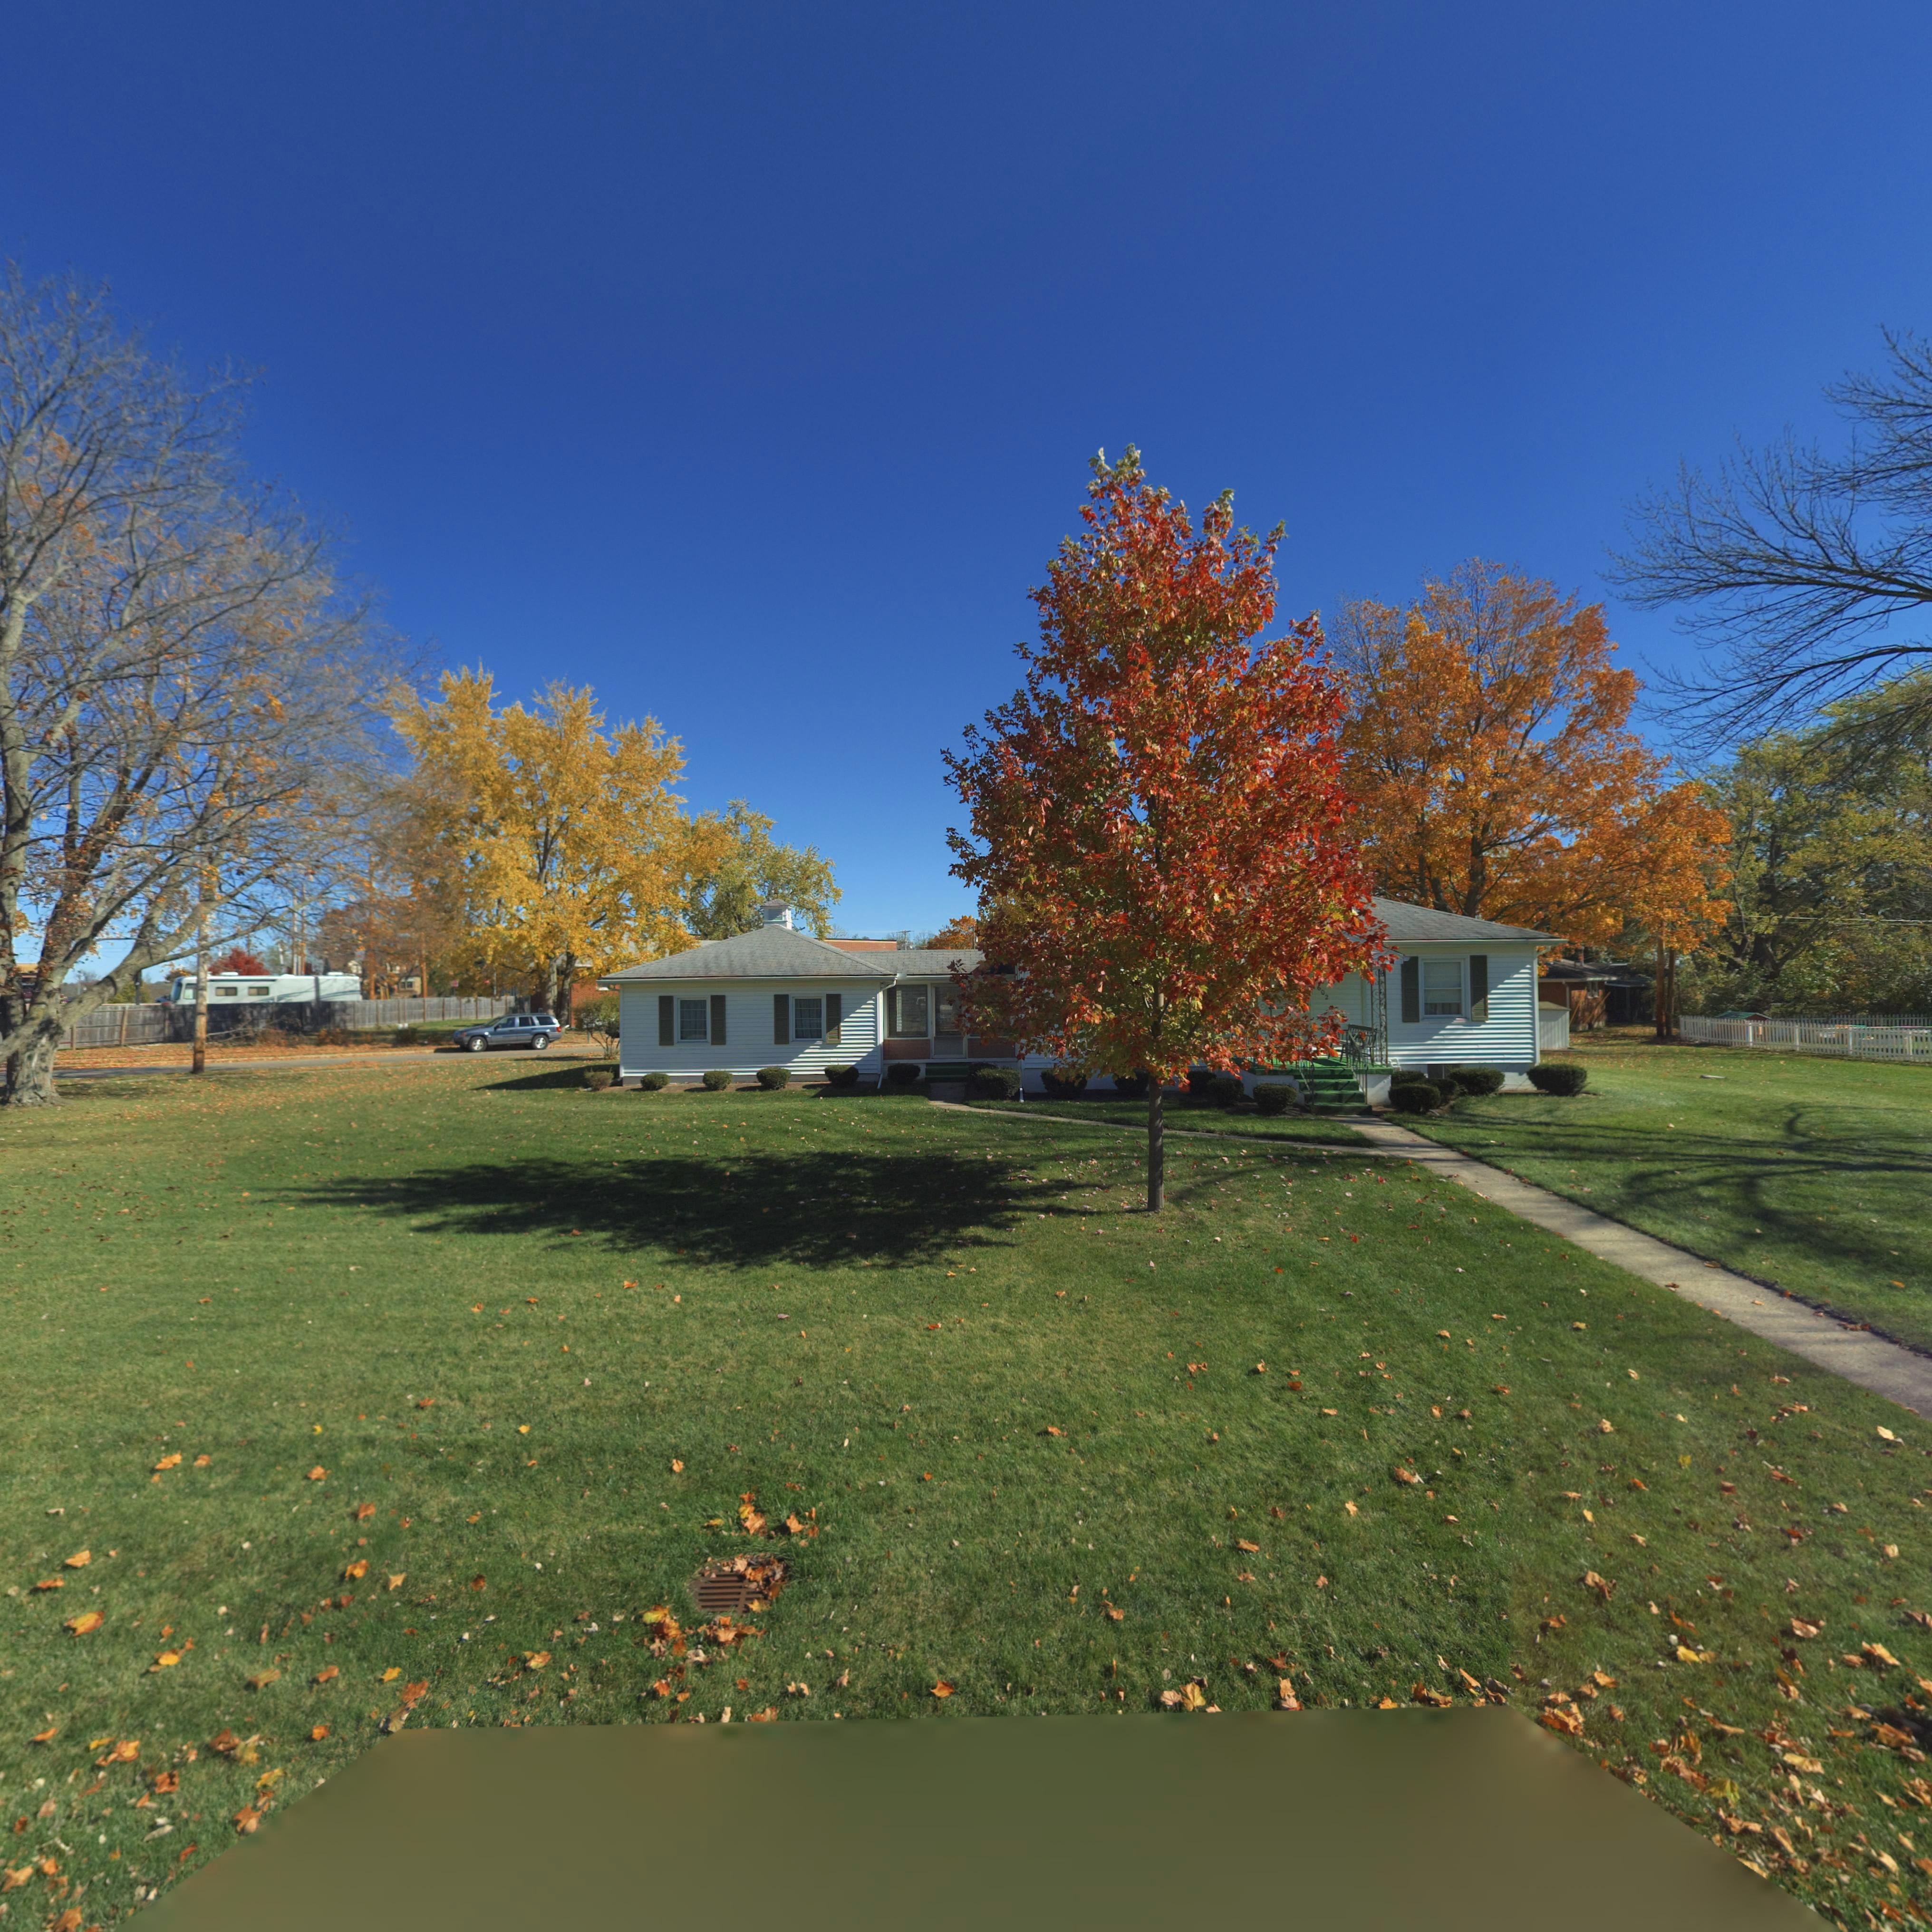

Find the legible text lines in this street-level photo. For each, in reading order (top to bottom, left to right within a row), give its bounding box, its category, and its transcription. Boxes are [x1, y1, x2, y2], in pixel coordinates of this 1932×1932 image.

[1317, 985, 1329, 1000] StreetNumber: 602